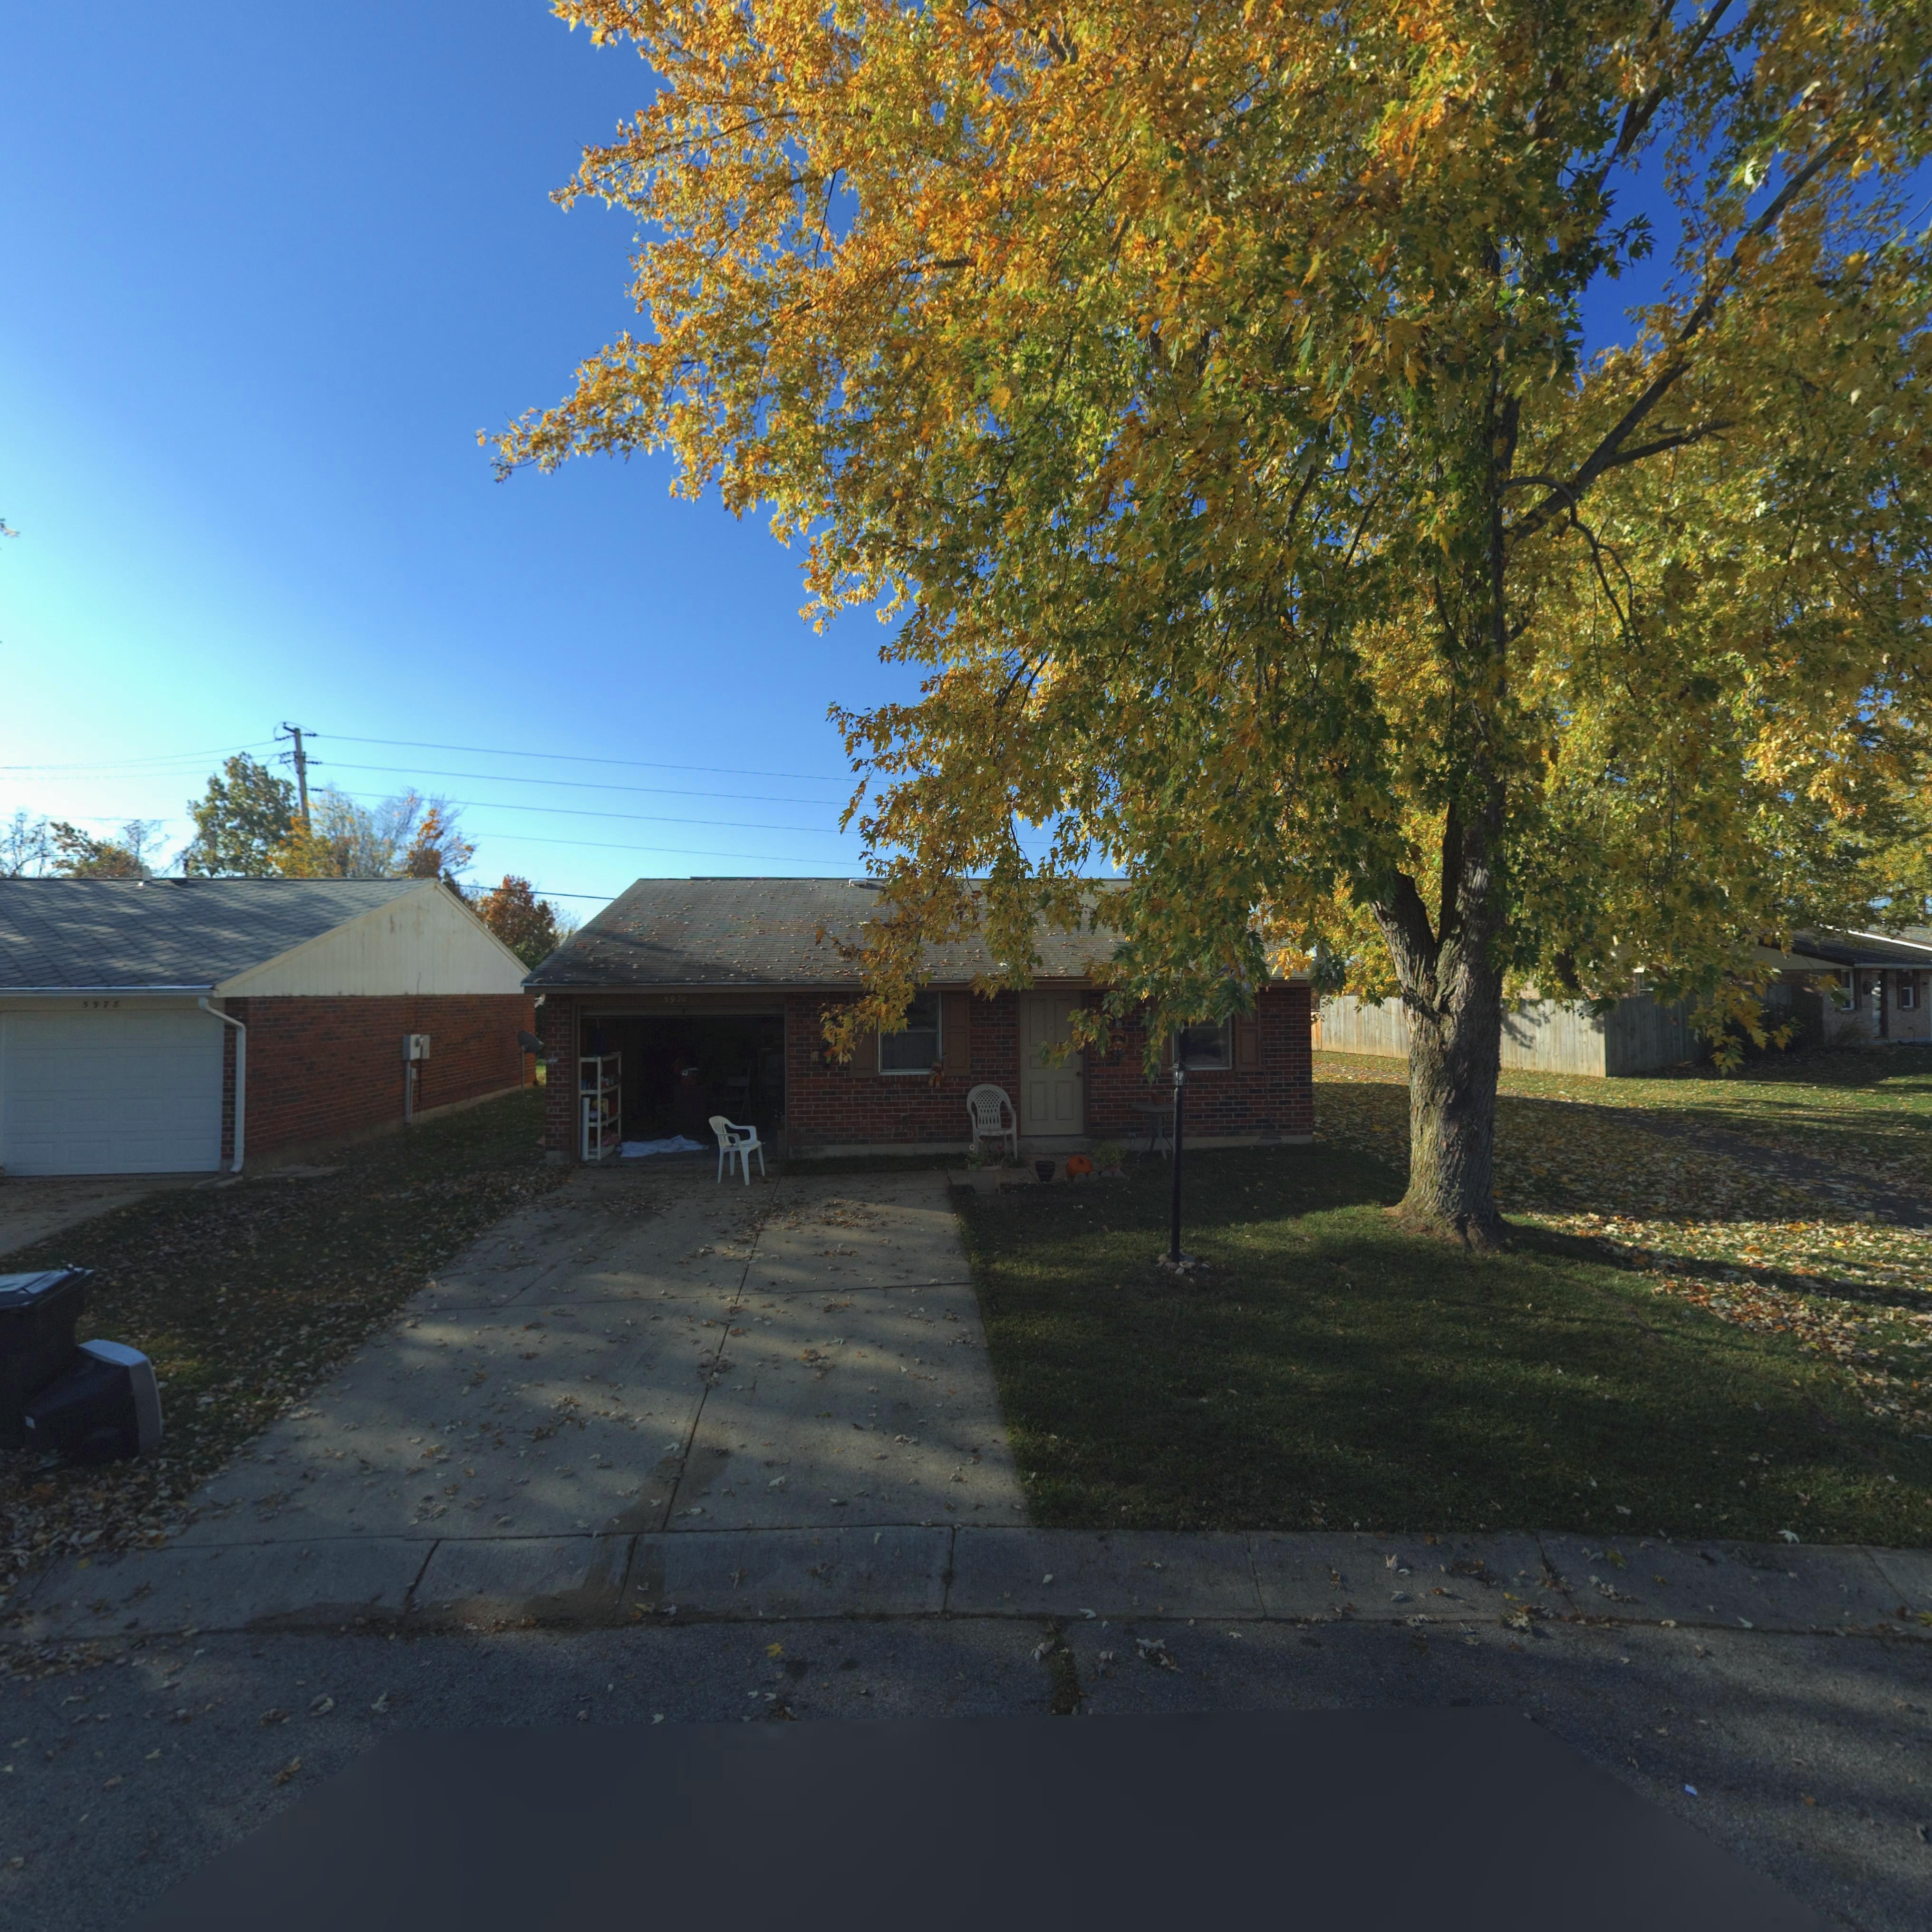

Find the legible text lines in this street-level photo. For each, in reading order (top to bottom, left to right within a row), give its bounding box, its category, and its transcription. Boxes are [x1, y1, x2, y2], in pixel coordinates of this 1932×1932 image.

[81, 1000, 121, 1009] StreetNumber: 5978
[661, 994, 687, 1005] StreetNumber: 5970